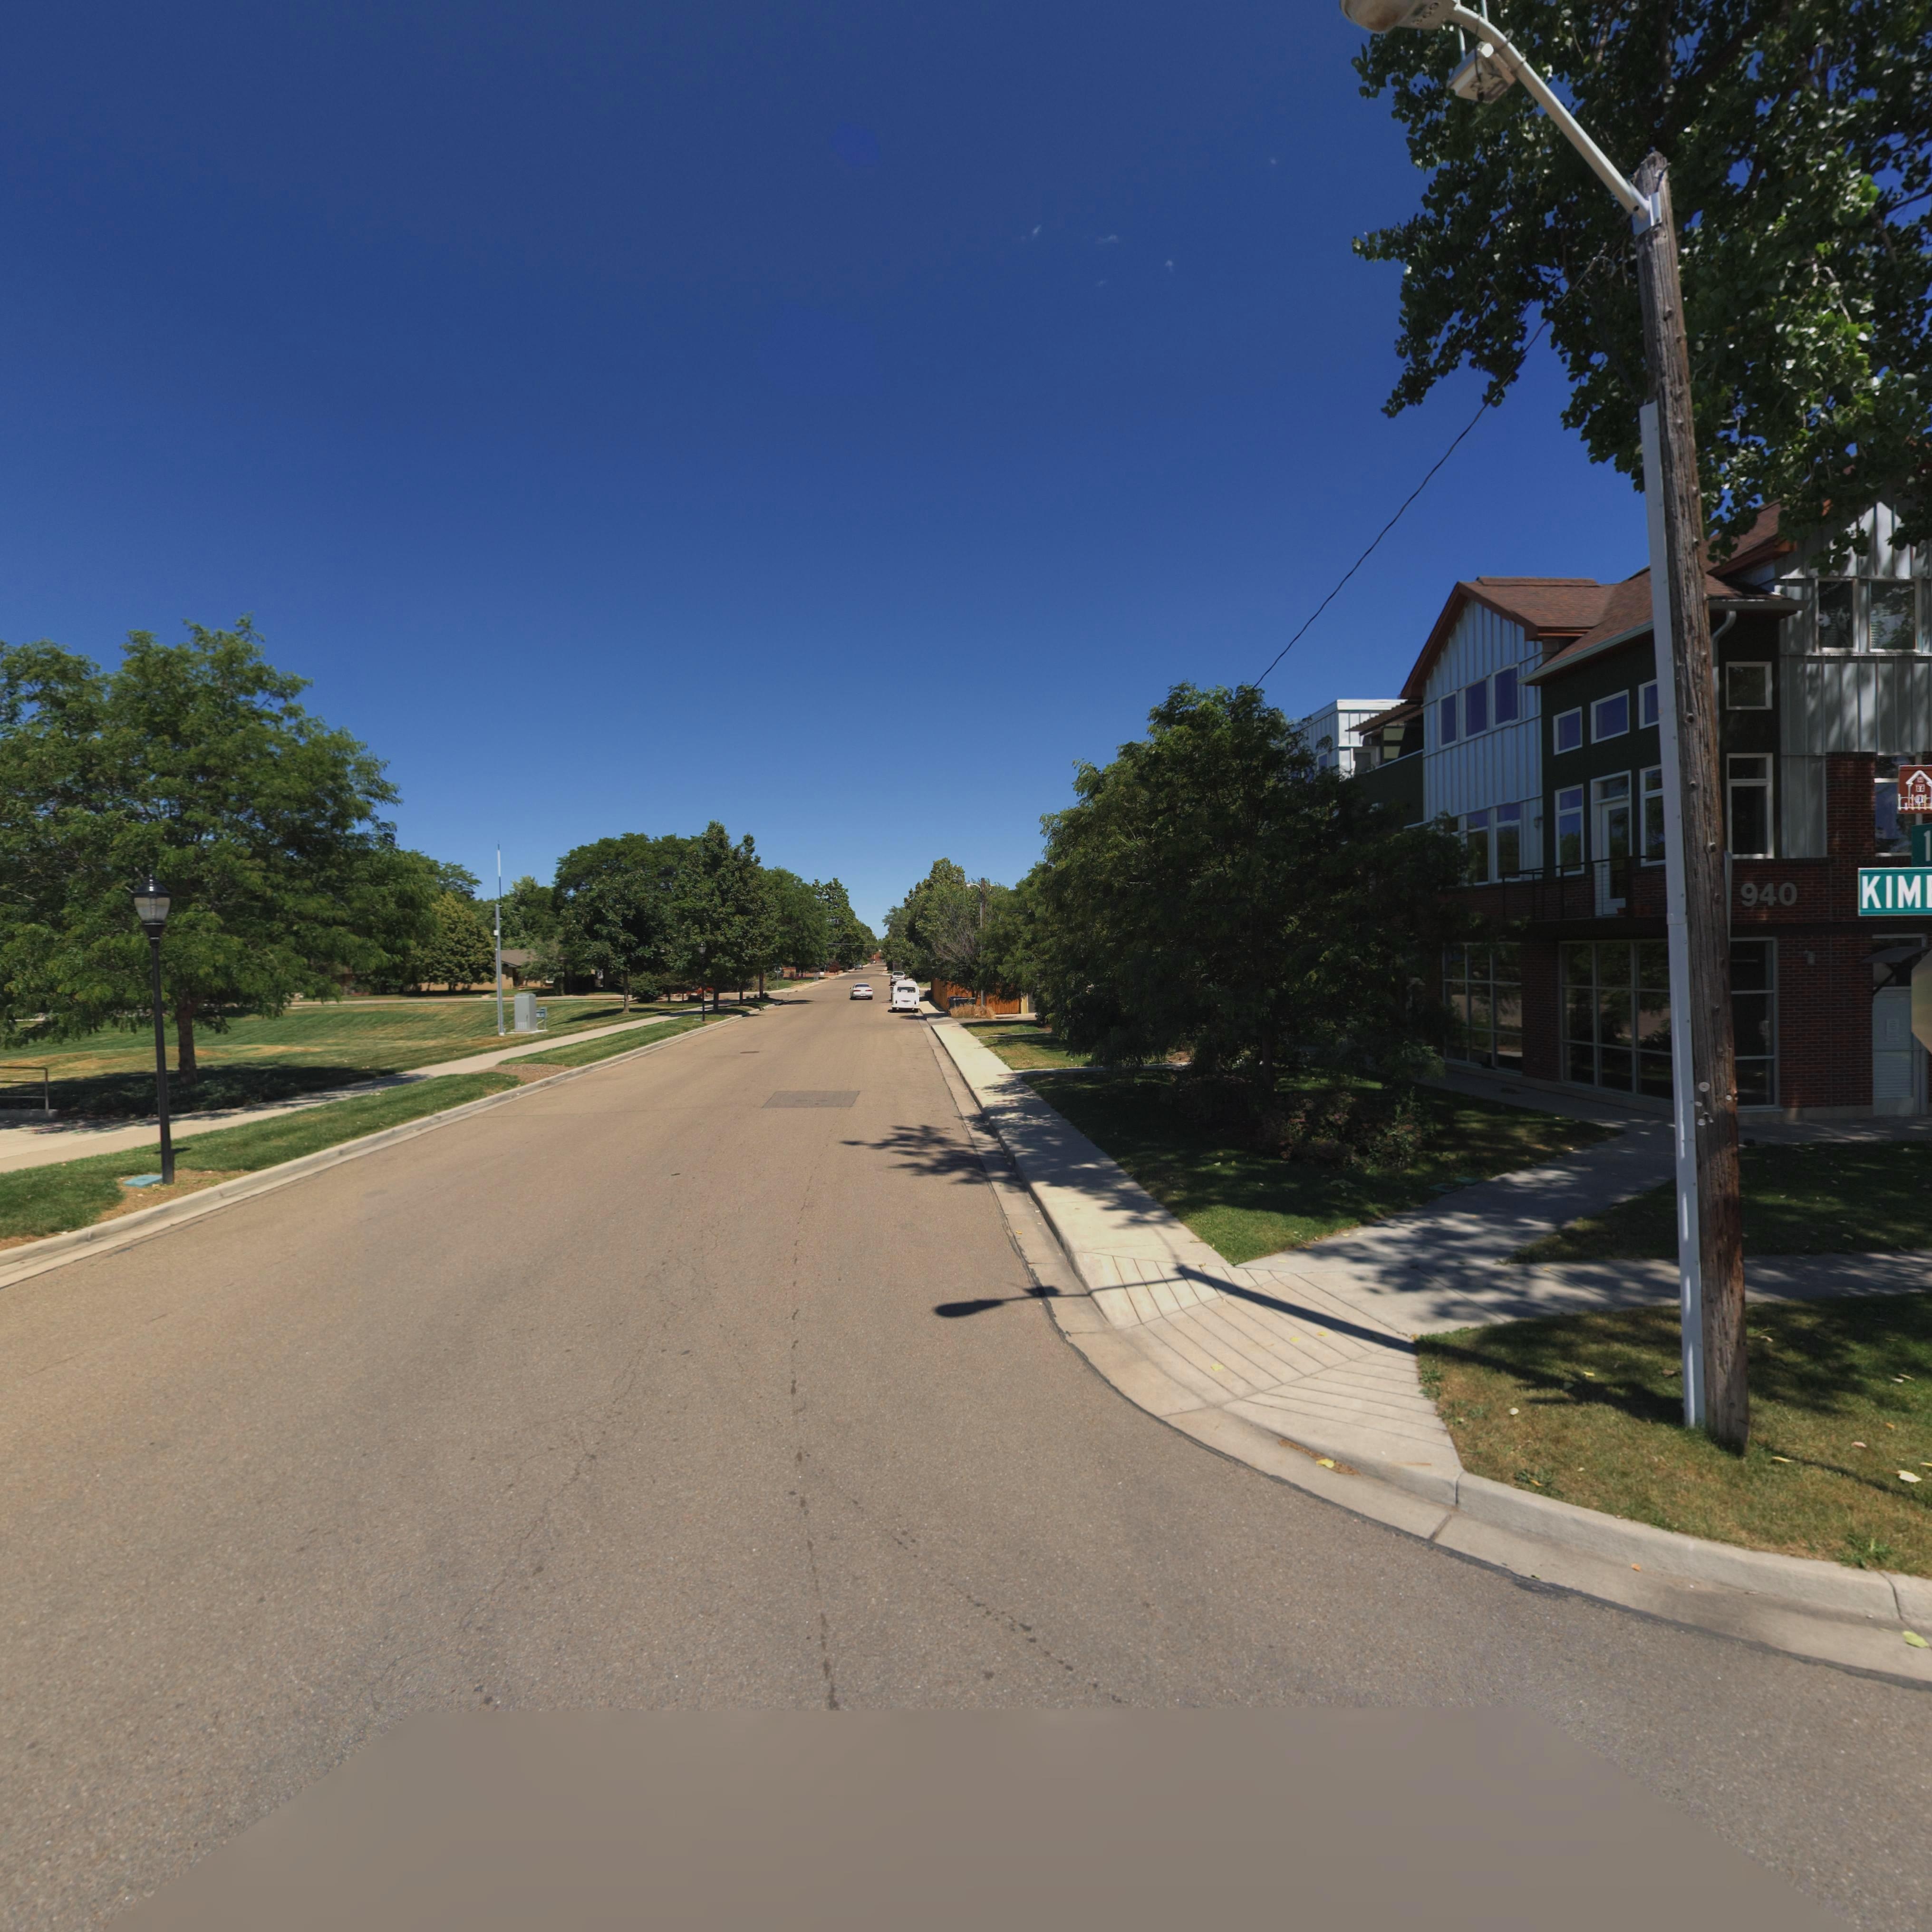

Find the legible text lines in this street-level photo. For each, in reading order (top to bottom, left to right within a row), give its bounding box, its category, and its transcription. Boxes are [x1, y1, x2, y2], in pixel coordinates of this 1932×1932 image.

[1923, 830, 1930, 860] StreetName: 1
[1740, 882, 1797, 907] StreetNumber: 940
[1861, 875, 1922, 908] StreetName: KIM